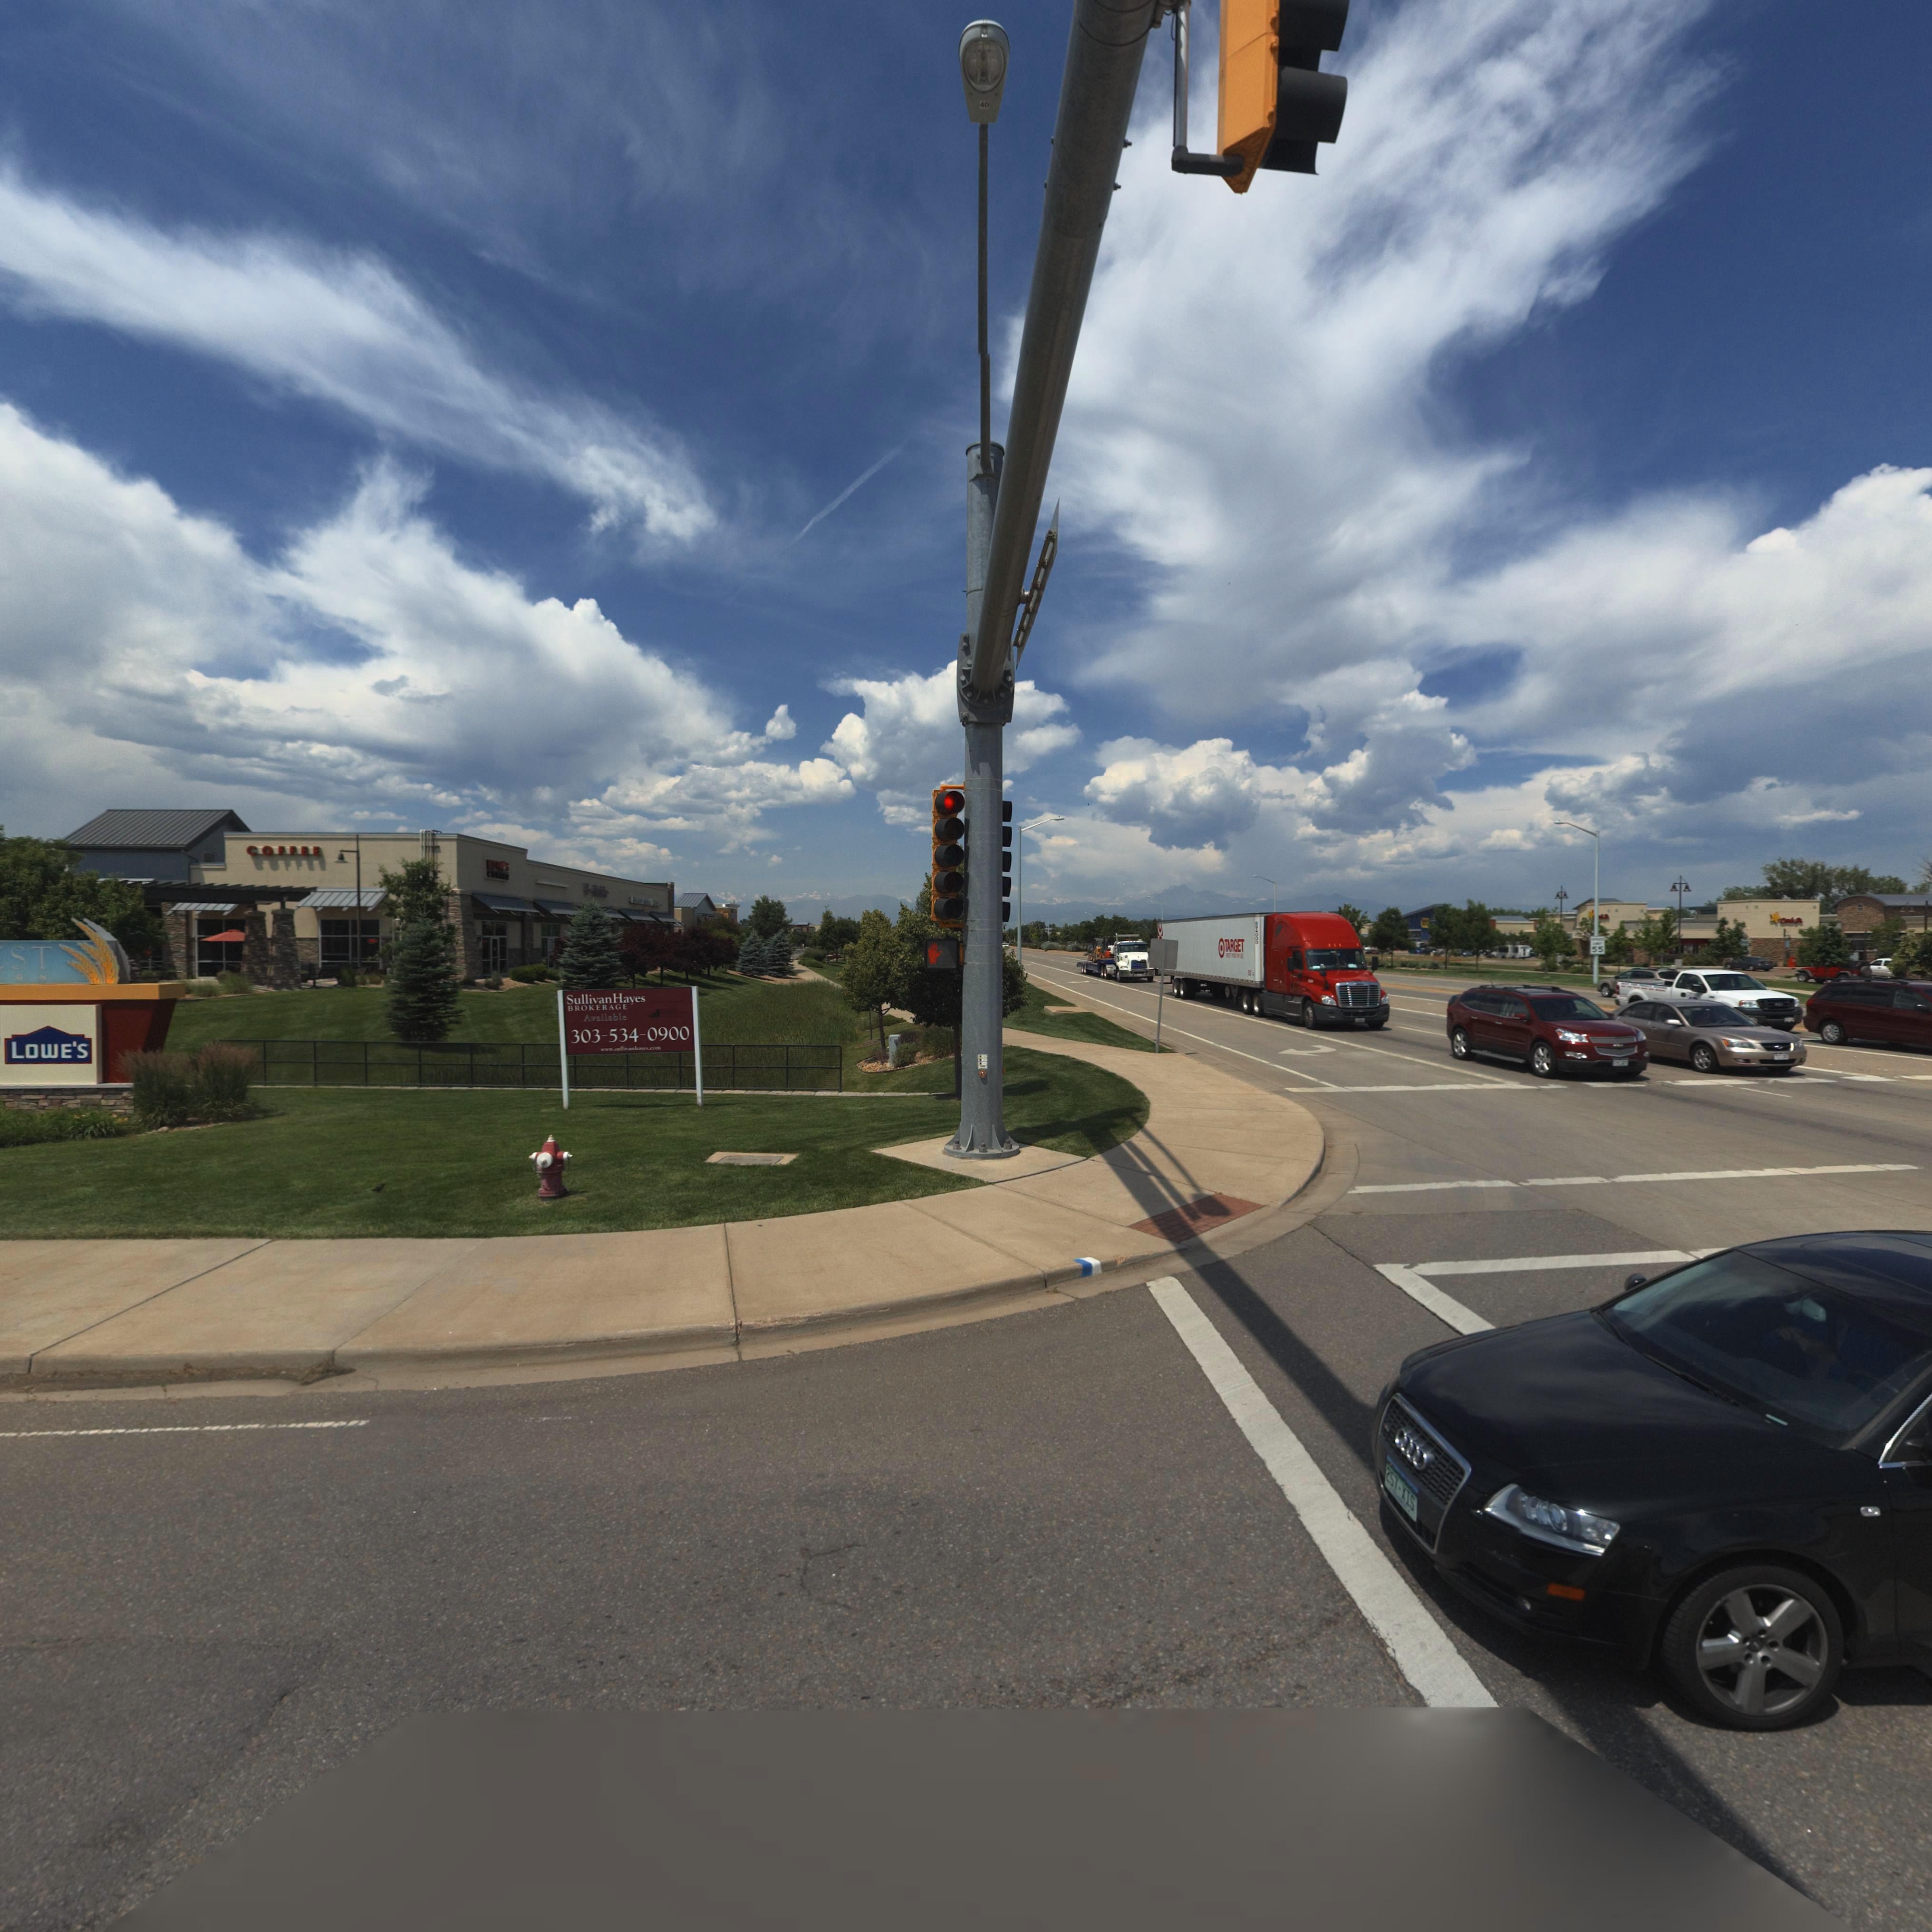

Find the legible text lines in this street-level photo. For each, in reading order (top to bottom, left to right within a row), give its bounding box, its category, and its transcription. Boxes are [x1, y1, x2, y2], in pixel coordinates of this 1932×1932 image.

[487, 859, 510, 871] BusinessName: ****G
[486, 869, 509, 880] BusinessName: CO***E
[582, 881, 608, 898] BusinessName: T***M***e
[1780, 917, 1804, 924] BusinessName: C**ls JR
[10, 1040, 88, 1059] BusinessName: LOWE'S